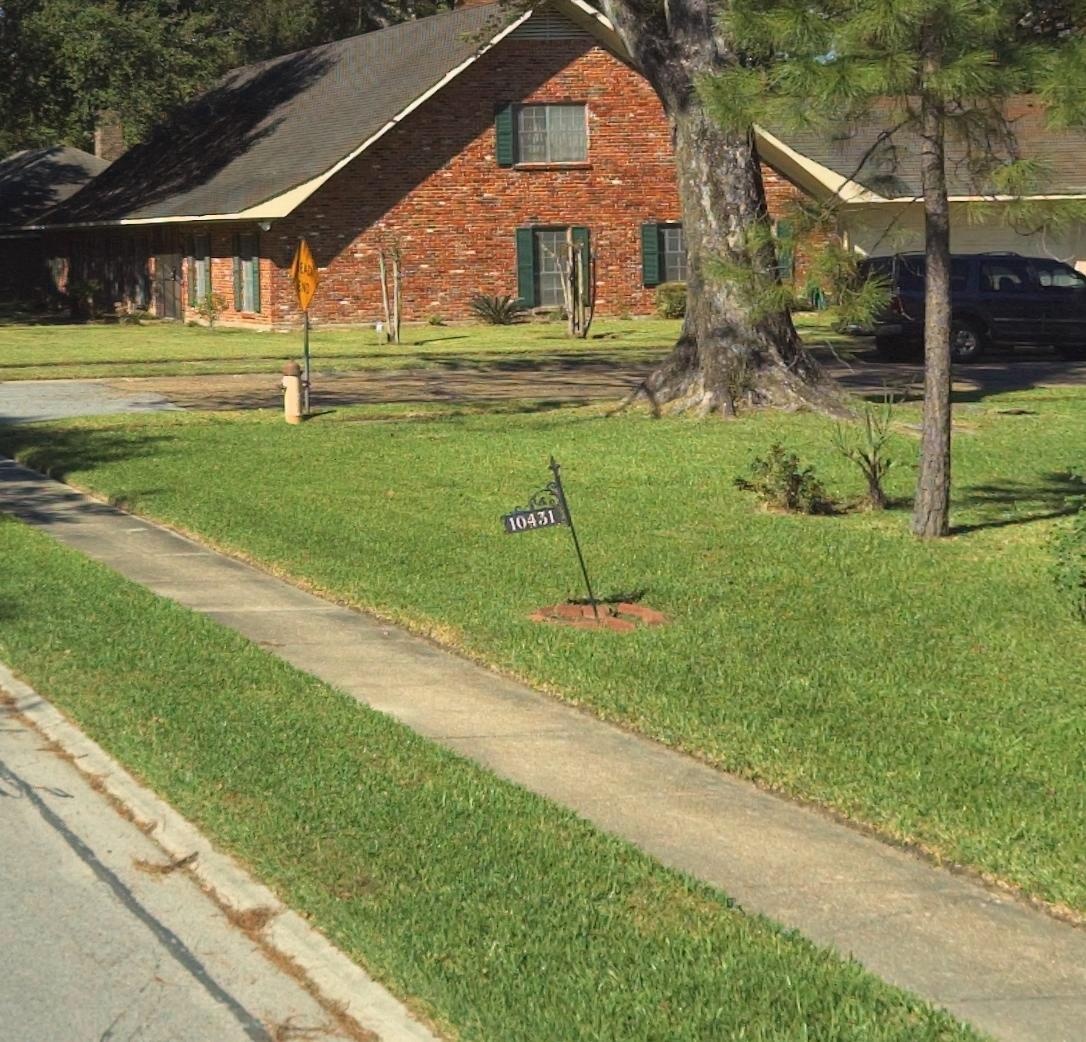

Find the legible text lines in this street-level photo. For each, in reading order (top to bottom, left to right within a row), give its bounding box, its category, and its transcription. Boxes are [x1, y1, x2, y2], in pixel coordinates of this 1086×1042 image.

[297, 259, 315, 279] None: EAD
[296, 276, 311, 297] None: END
[505, 506, 558, 535] StreetNumber: 10431